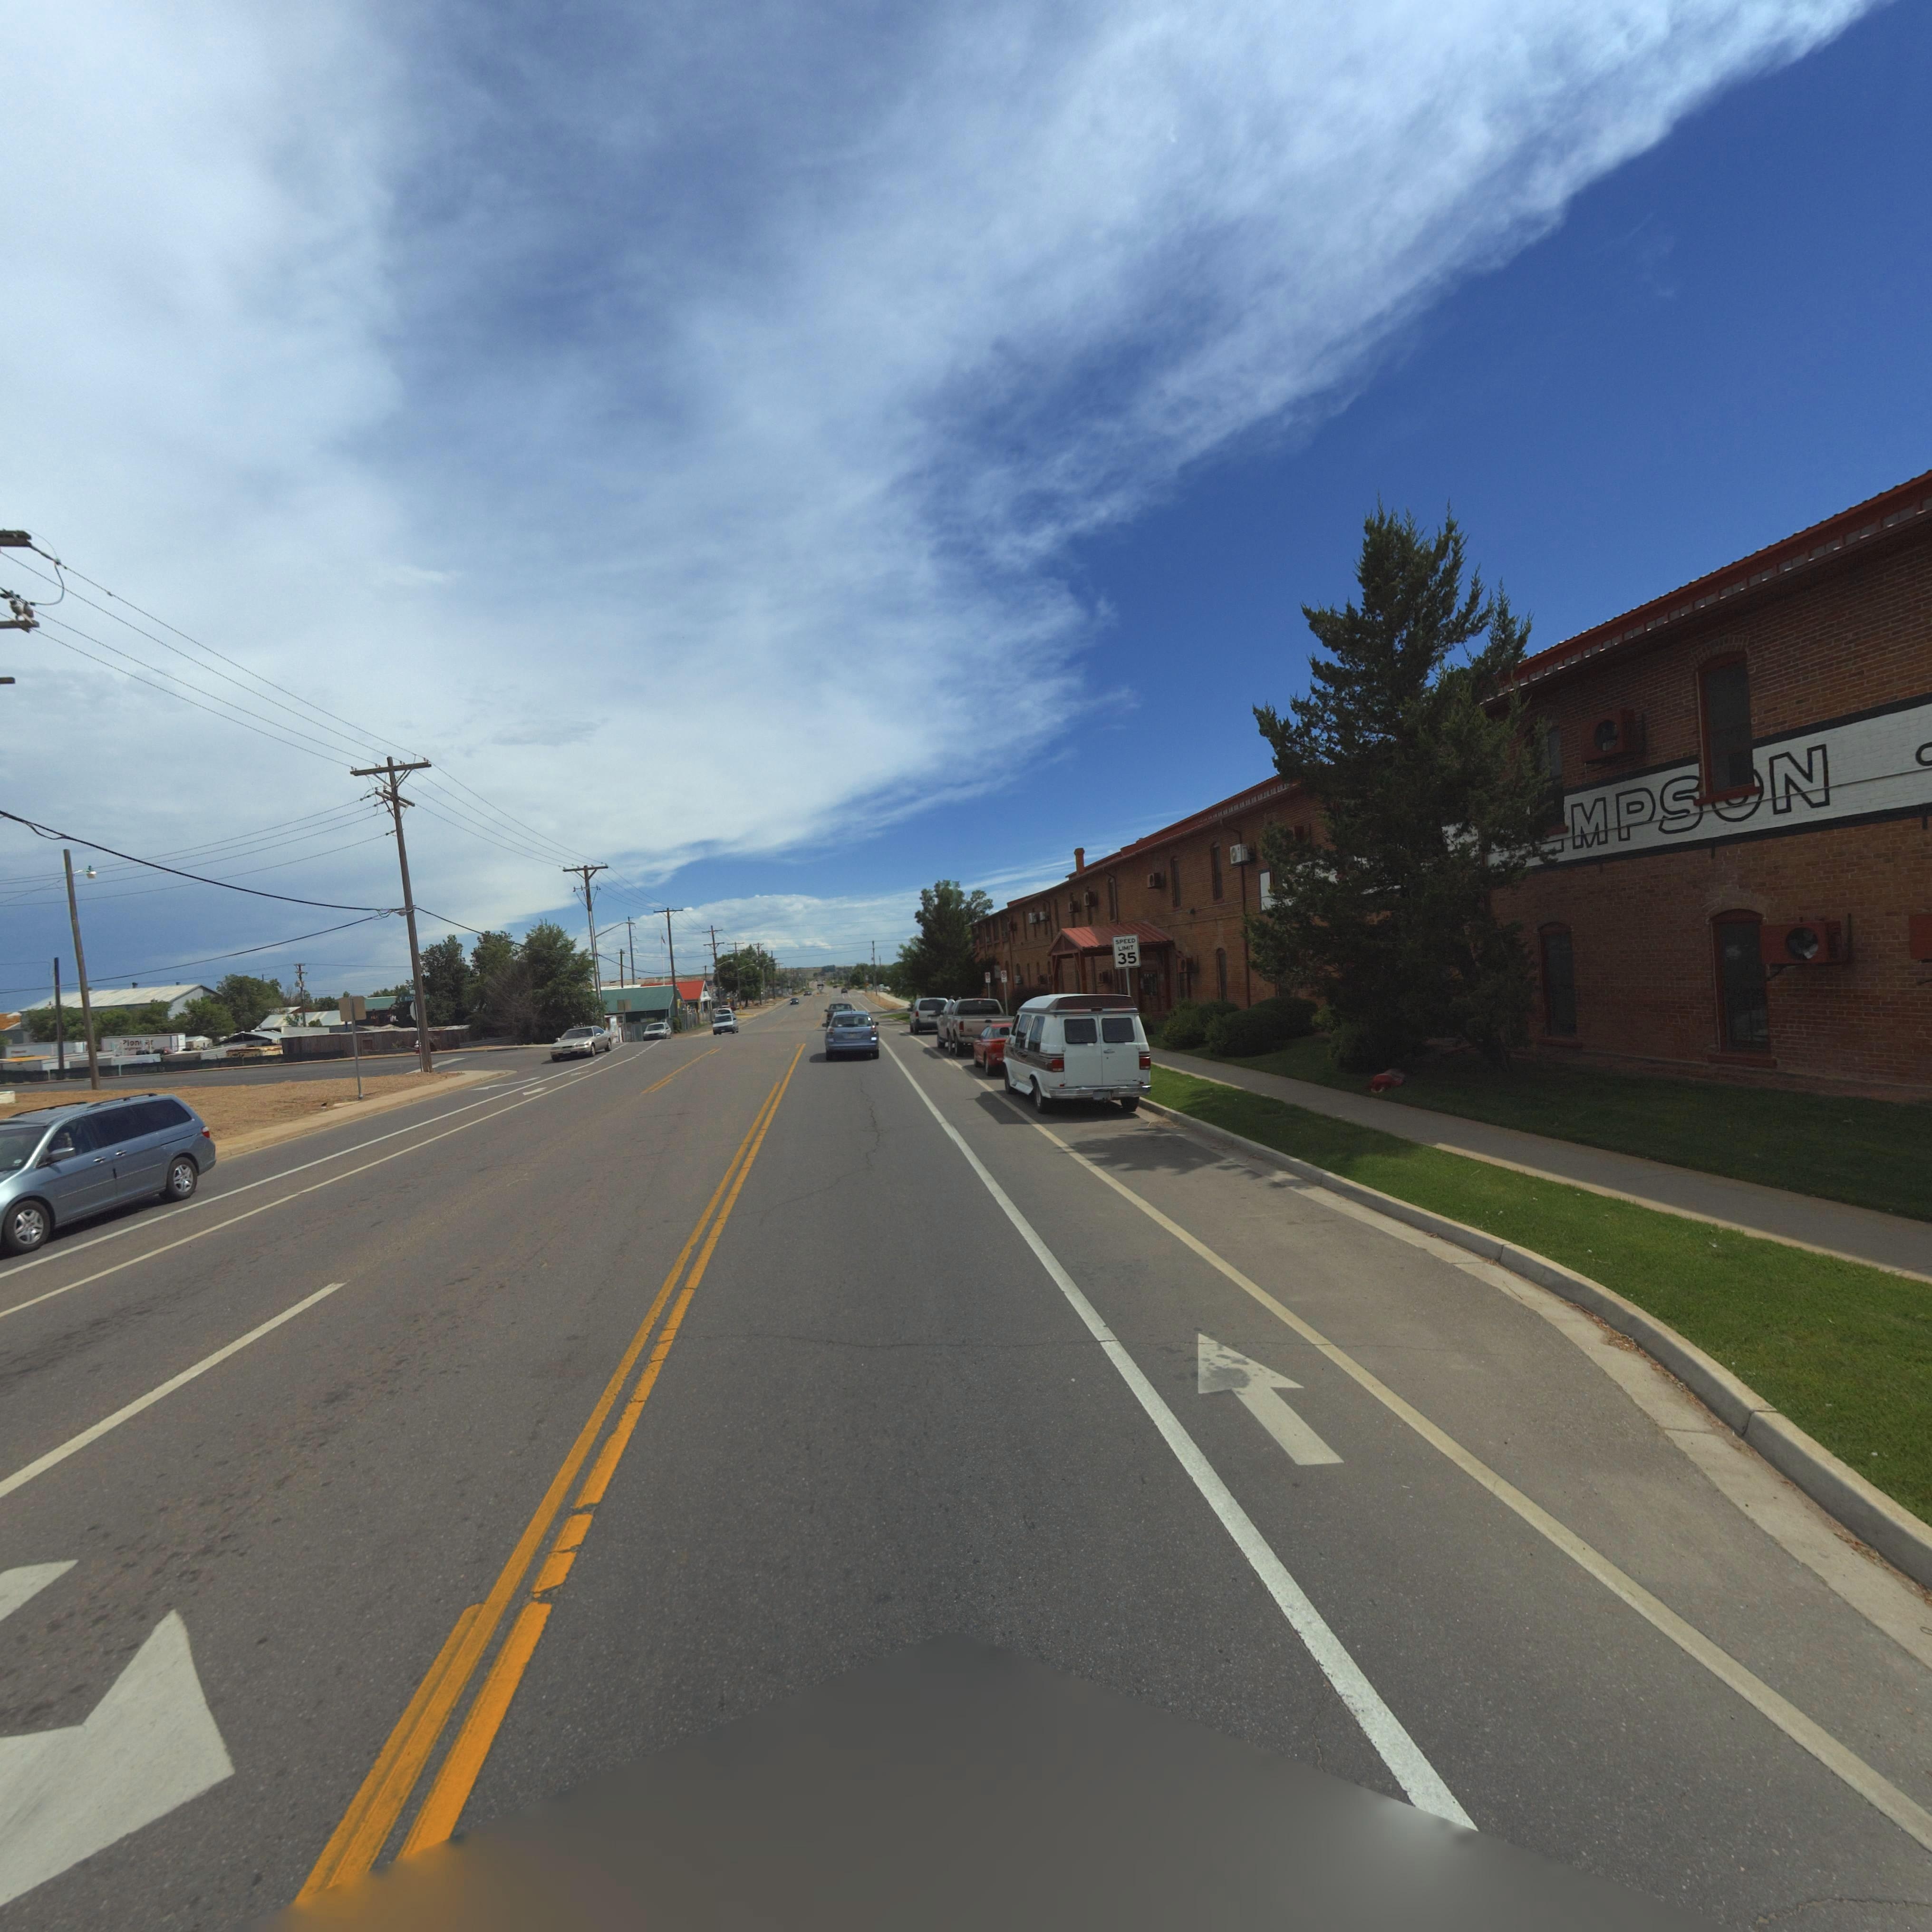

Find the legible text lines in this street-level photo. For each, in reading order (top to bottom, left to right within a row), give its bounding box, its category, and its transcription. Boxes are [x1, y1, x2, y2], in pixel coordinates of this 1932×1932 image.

[399, 994, 430, 1002] StreetName: E ROG****RD